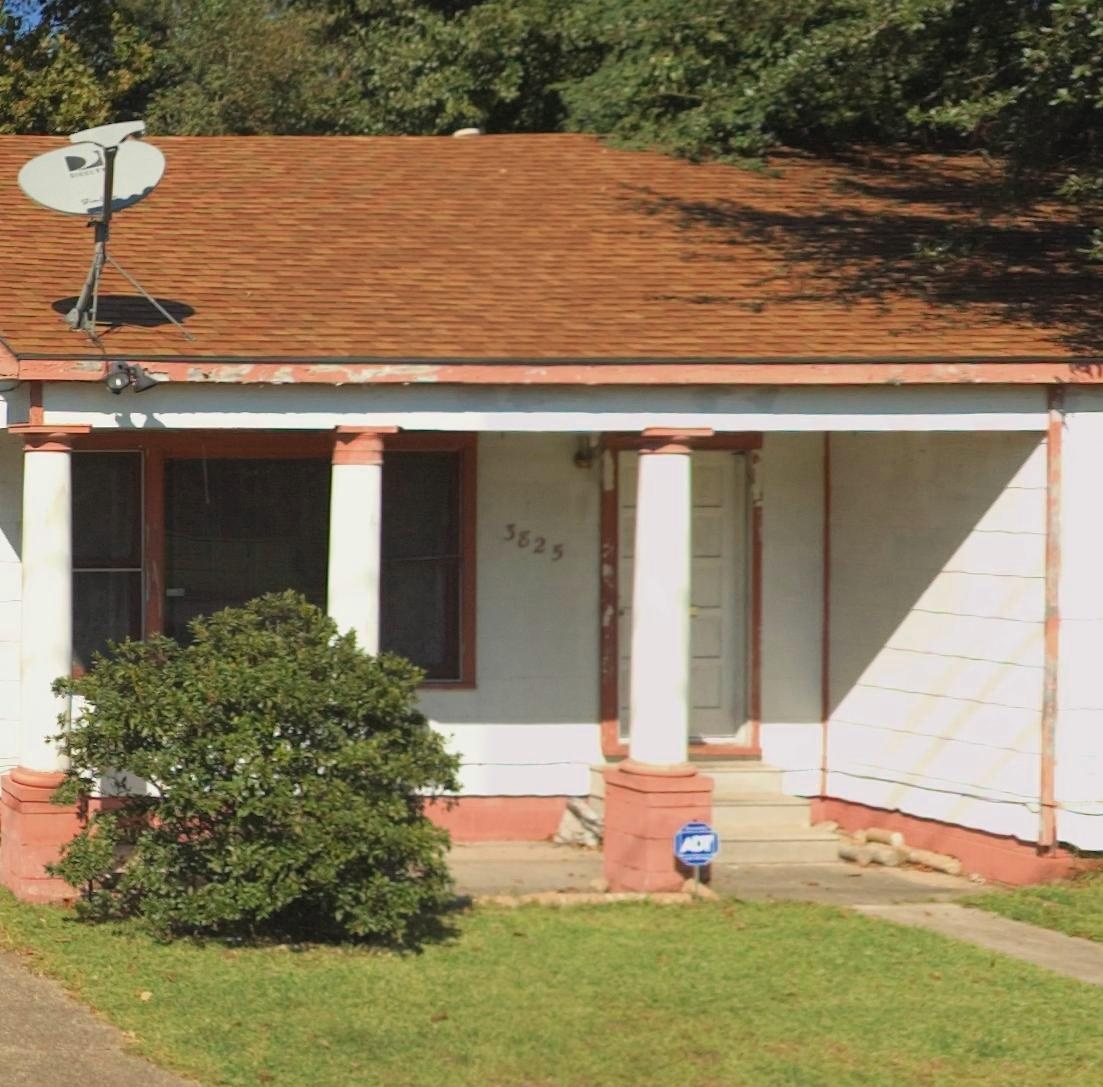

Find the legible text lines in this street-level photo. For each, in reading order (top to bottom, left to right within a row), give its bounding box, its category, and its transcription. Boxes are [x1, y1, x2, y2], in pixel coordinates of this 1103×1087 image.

[501, 520, 566, 564] StreetNumber: 3825
[674, 834, 716, 854] None: ADT